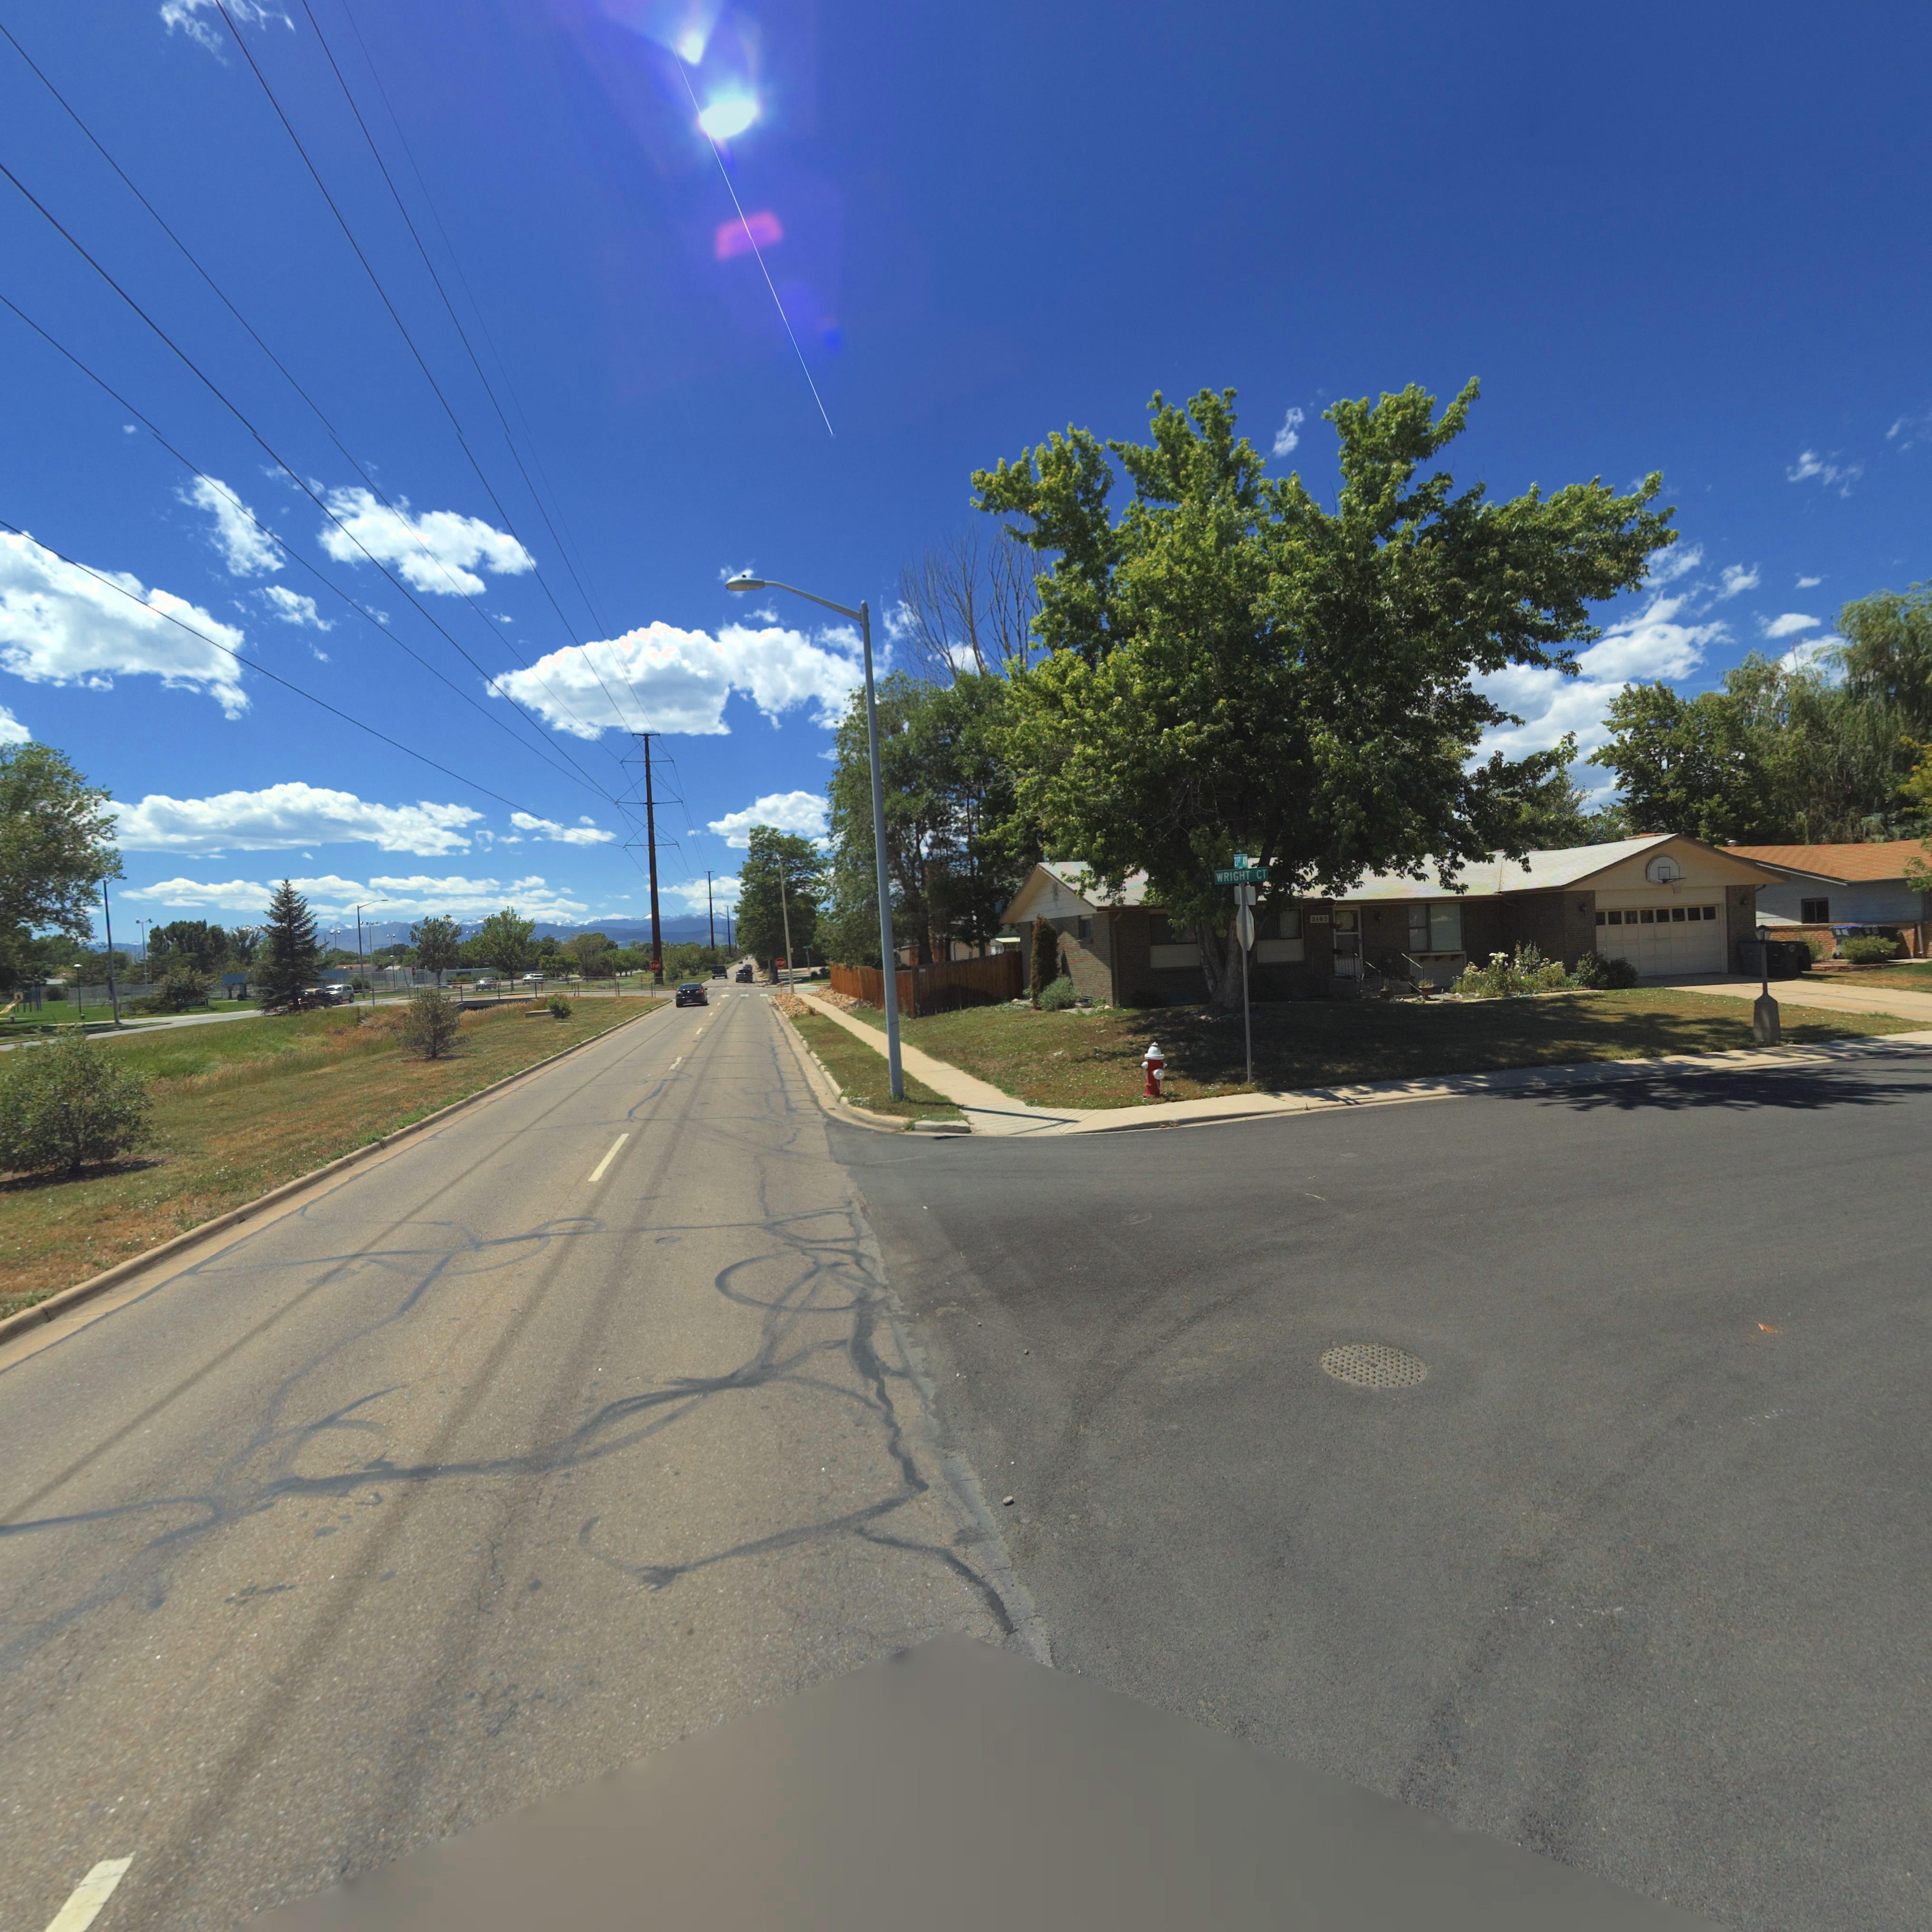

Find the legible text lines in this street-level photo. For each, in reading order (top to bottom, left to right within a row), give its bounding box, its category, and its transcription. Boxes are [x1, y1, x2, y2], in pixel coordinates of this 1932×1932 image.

[1234, 856, 1247, 866] StreetName: 2*** **
[1216, 869, 1266, 882] StreetName: WRIGHT CT
[1312, 917, 1327, 921] StreetNumber: 210*